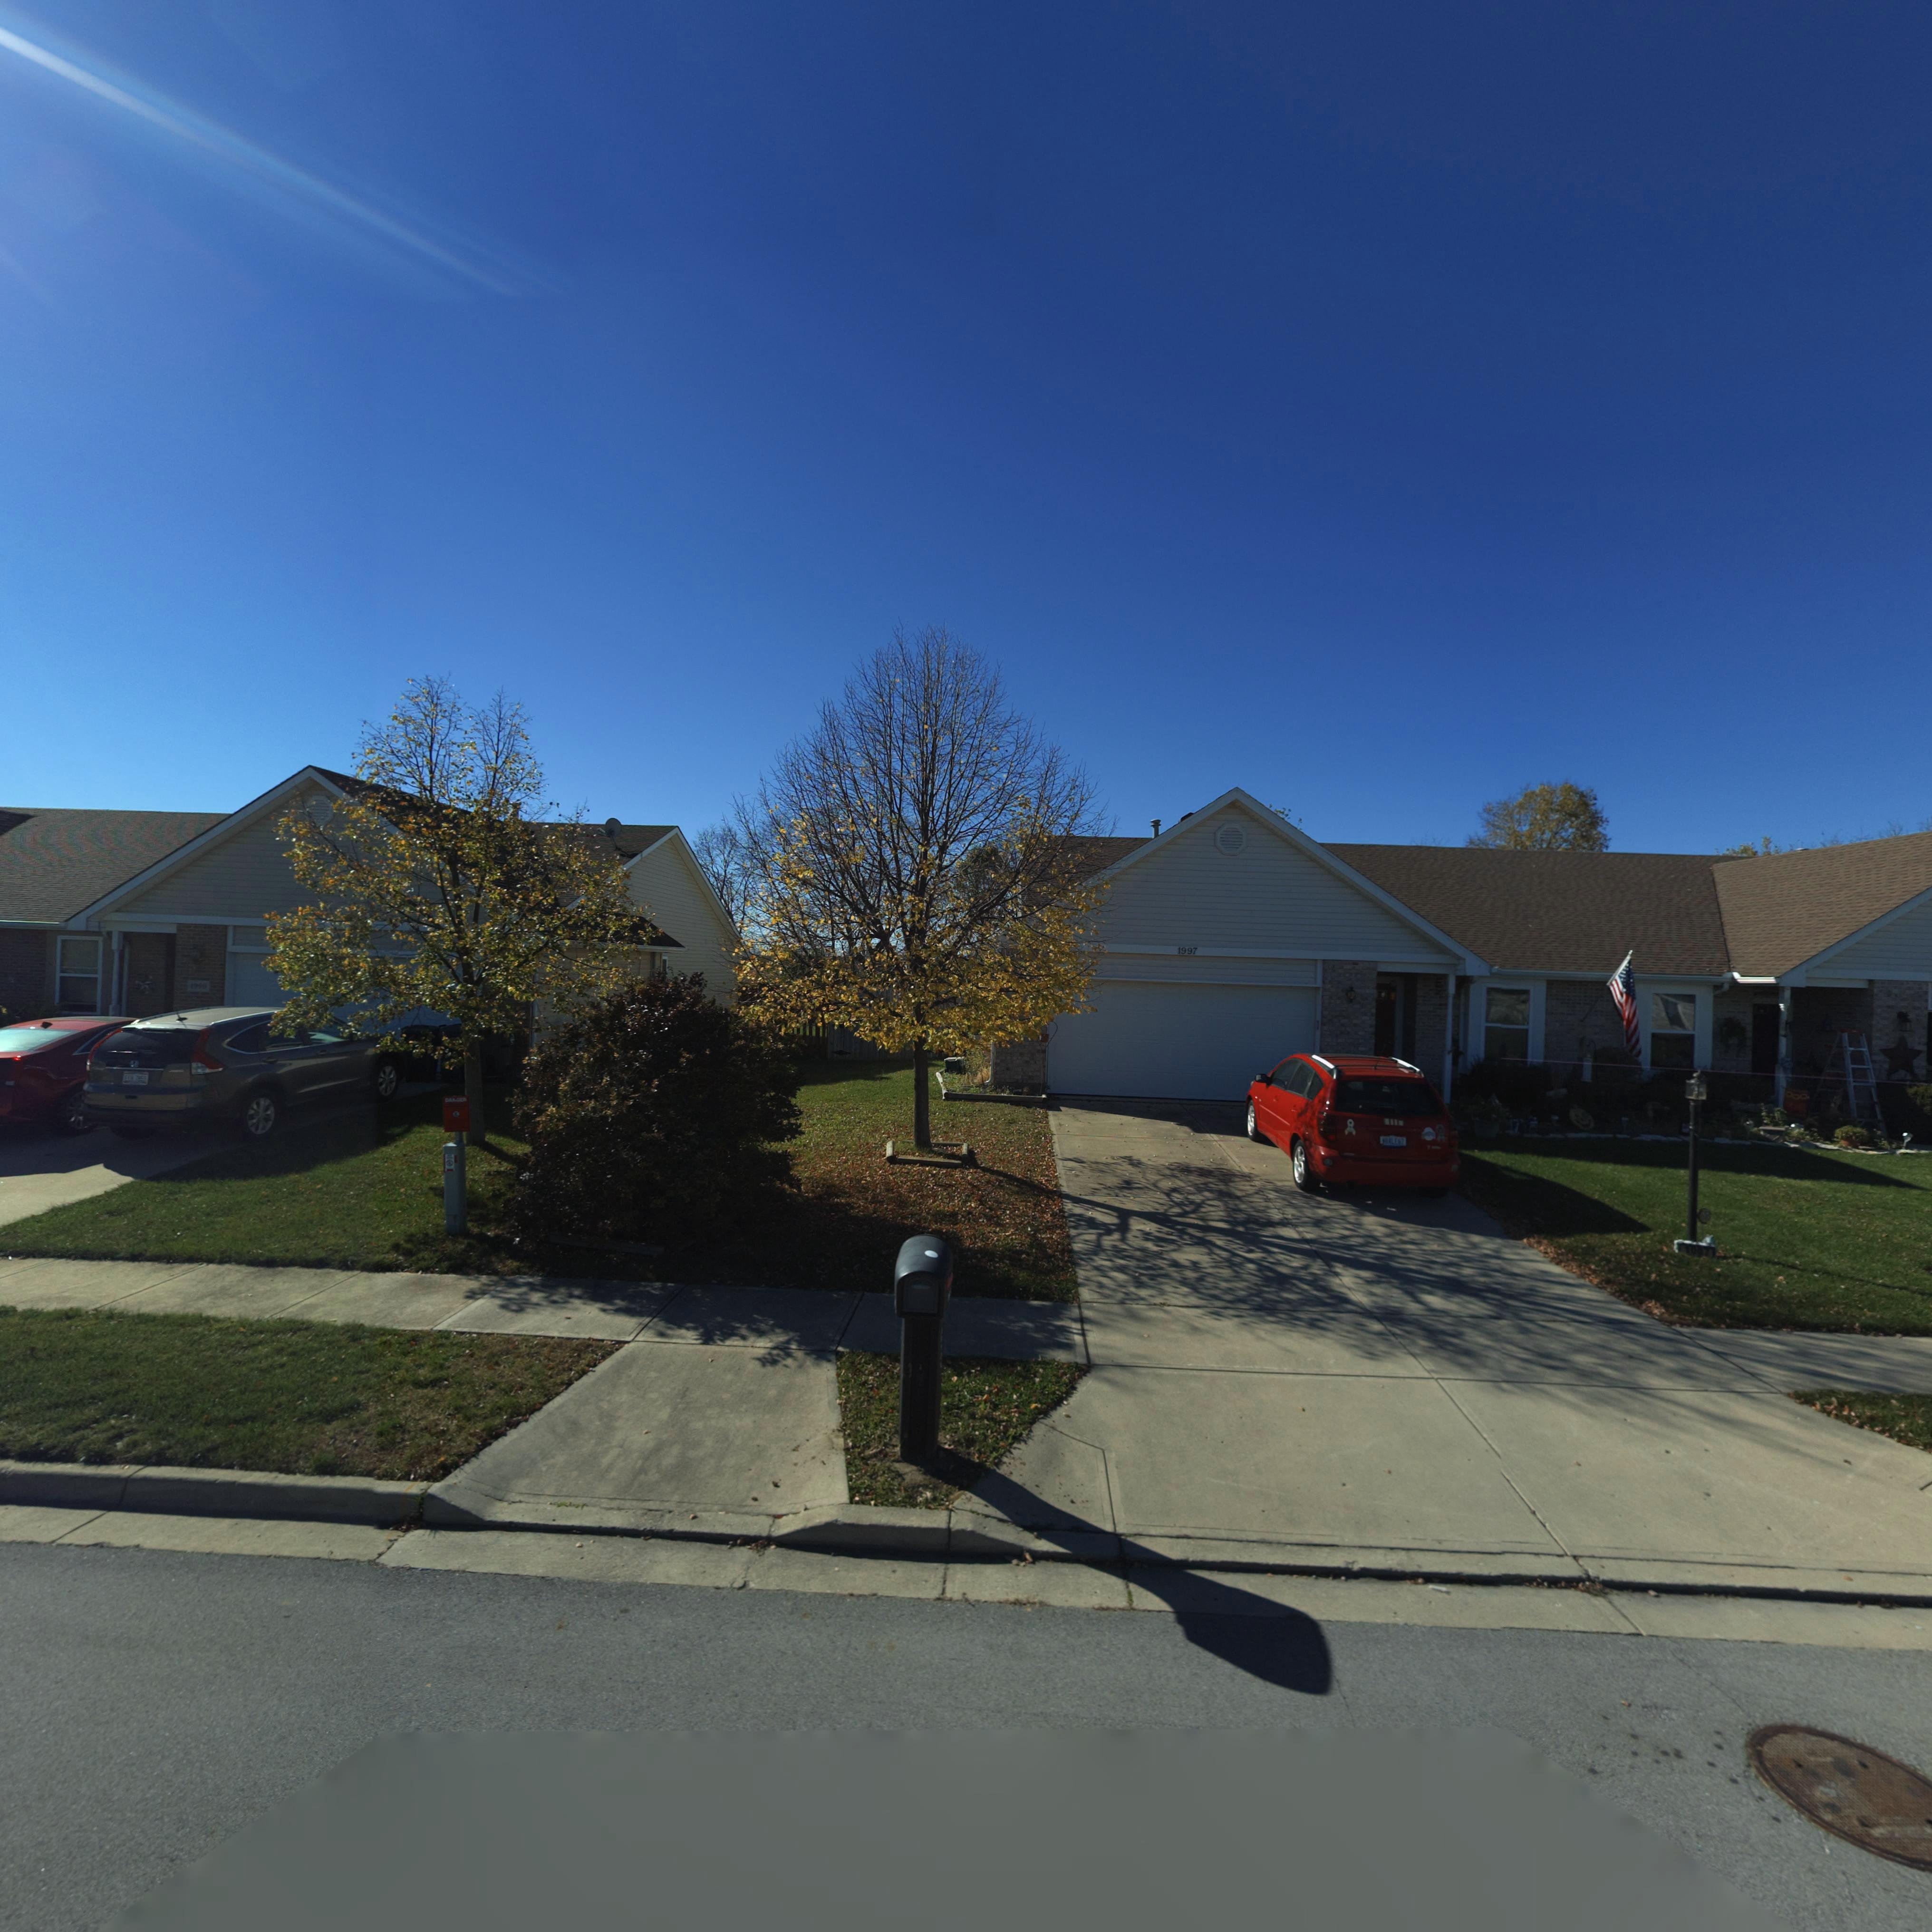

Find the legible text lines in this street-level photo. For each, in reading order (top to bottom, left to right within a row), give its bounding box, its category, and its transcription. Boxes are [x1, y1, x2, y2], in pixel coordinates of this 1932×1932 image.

[1177, 946, 1199, 956] StreetNumber: 1997
[190, 982, 207, 990] StreetNumber: 19**
[1683, 1244, 1712, 1258] StreetNumber: 1*97